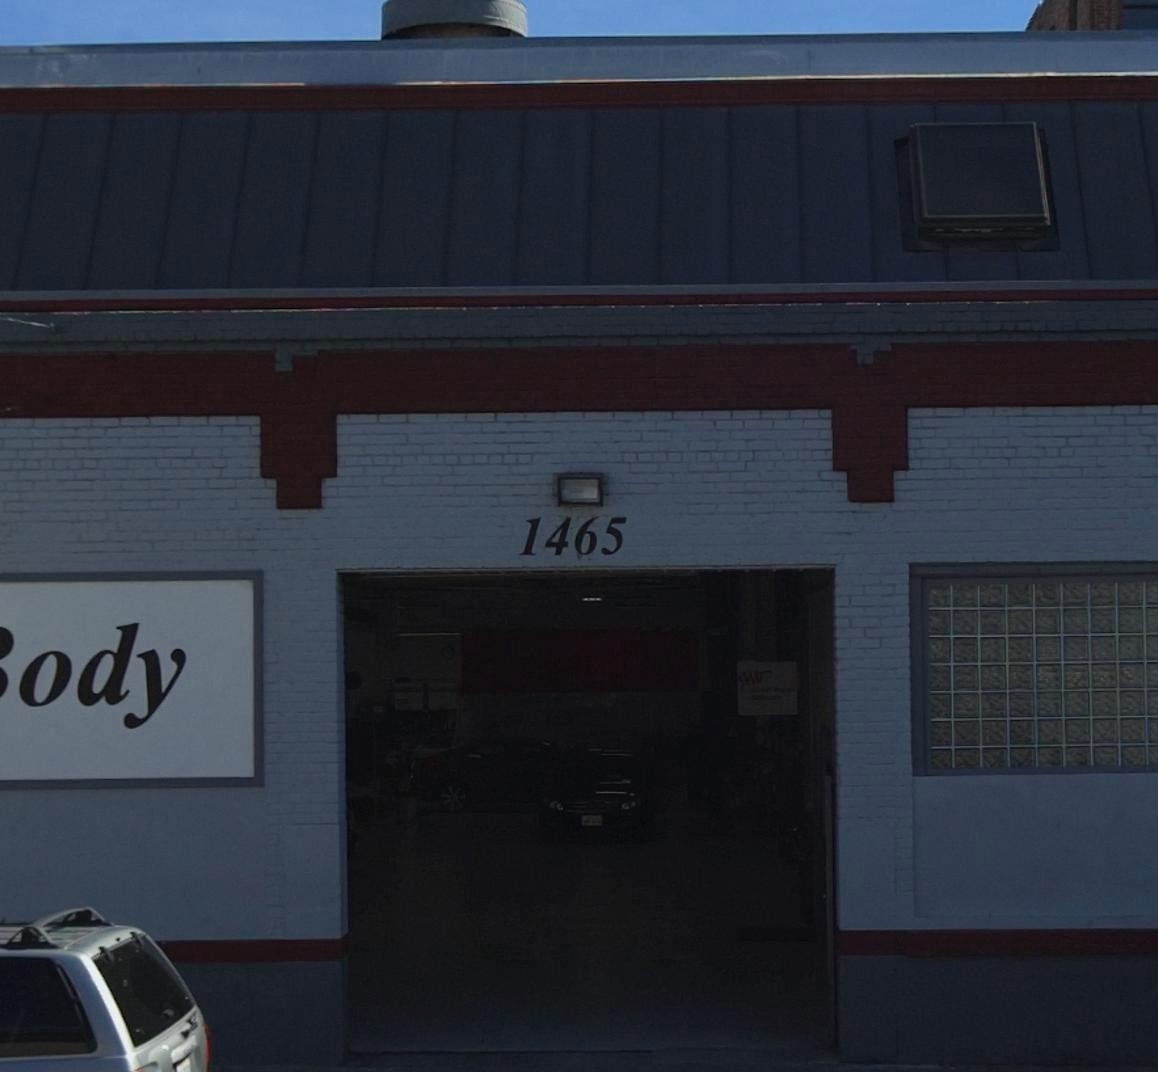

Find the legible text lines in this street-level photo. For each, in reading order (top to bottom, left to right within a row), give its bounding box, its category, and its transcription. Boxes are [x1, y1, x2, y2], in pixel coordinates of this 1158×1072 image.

[513, 512, 632, 562] StreetNumber: 1465
[11, 613, 198, 740] BusinessName: ody
[743, 670, 757, 687] None: A